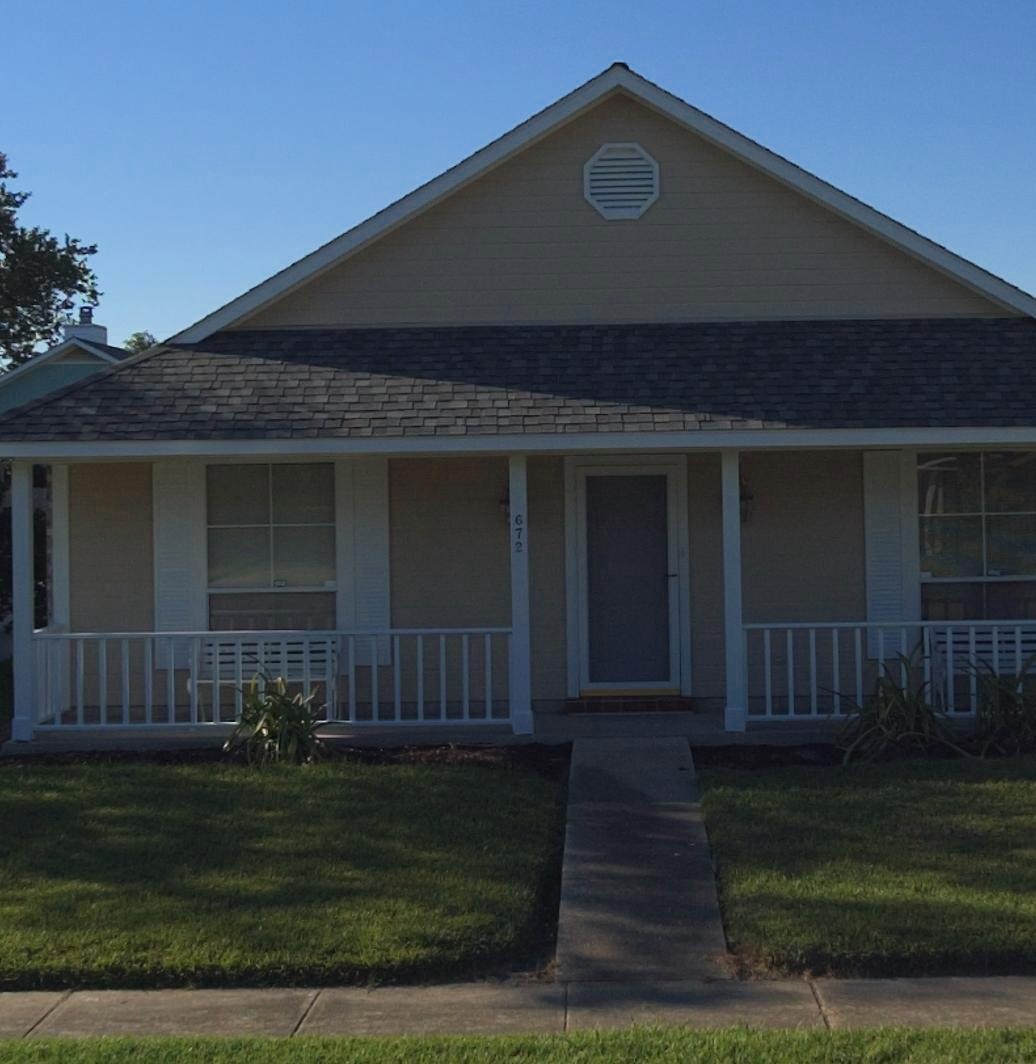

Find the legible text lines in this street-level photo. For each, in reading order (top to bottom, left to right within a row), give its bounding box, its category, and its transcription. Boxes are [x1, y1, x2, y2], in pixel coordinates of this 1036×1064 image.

[514, 513, 524, 553] StreetNumber: 672